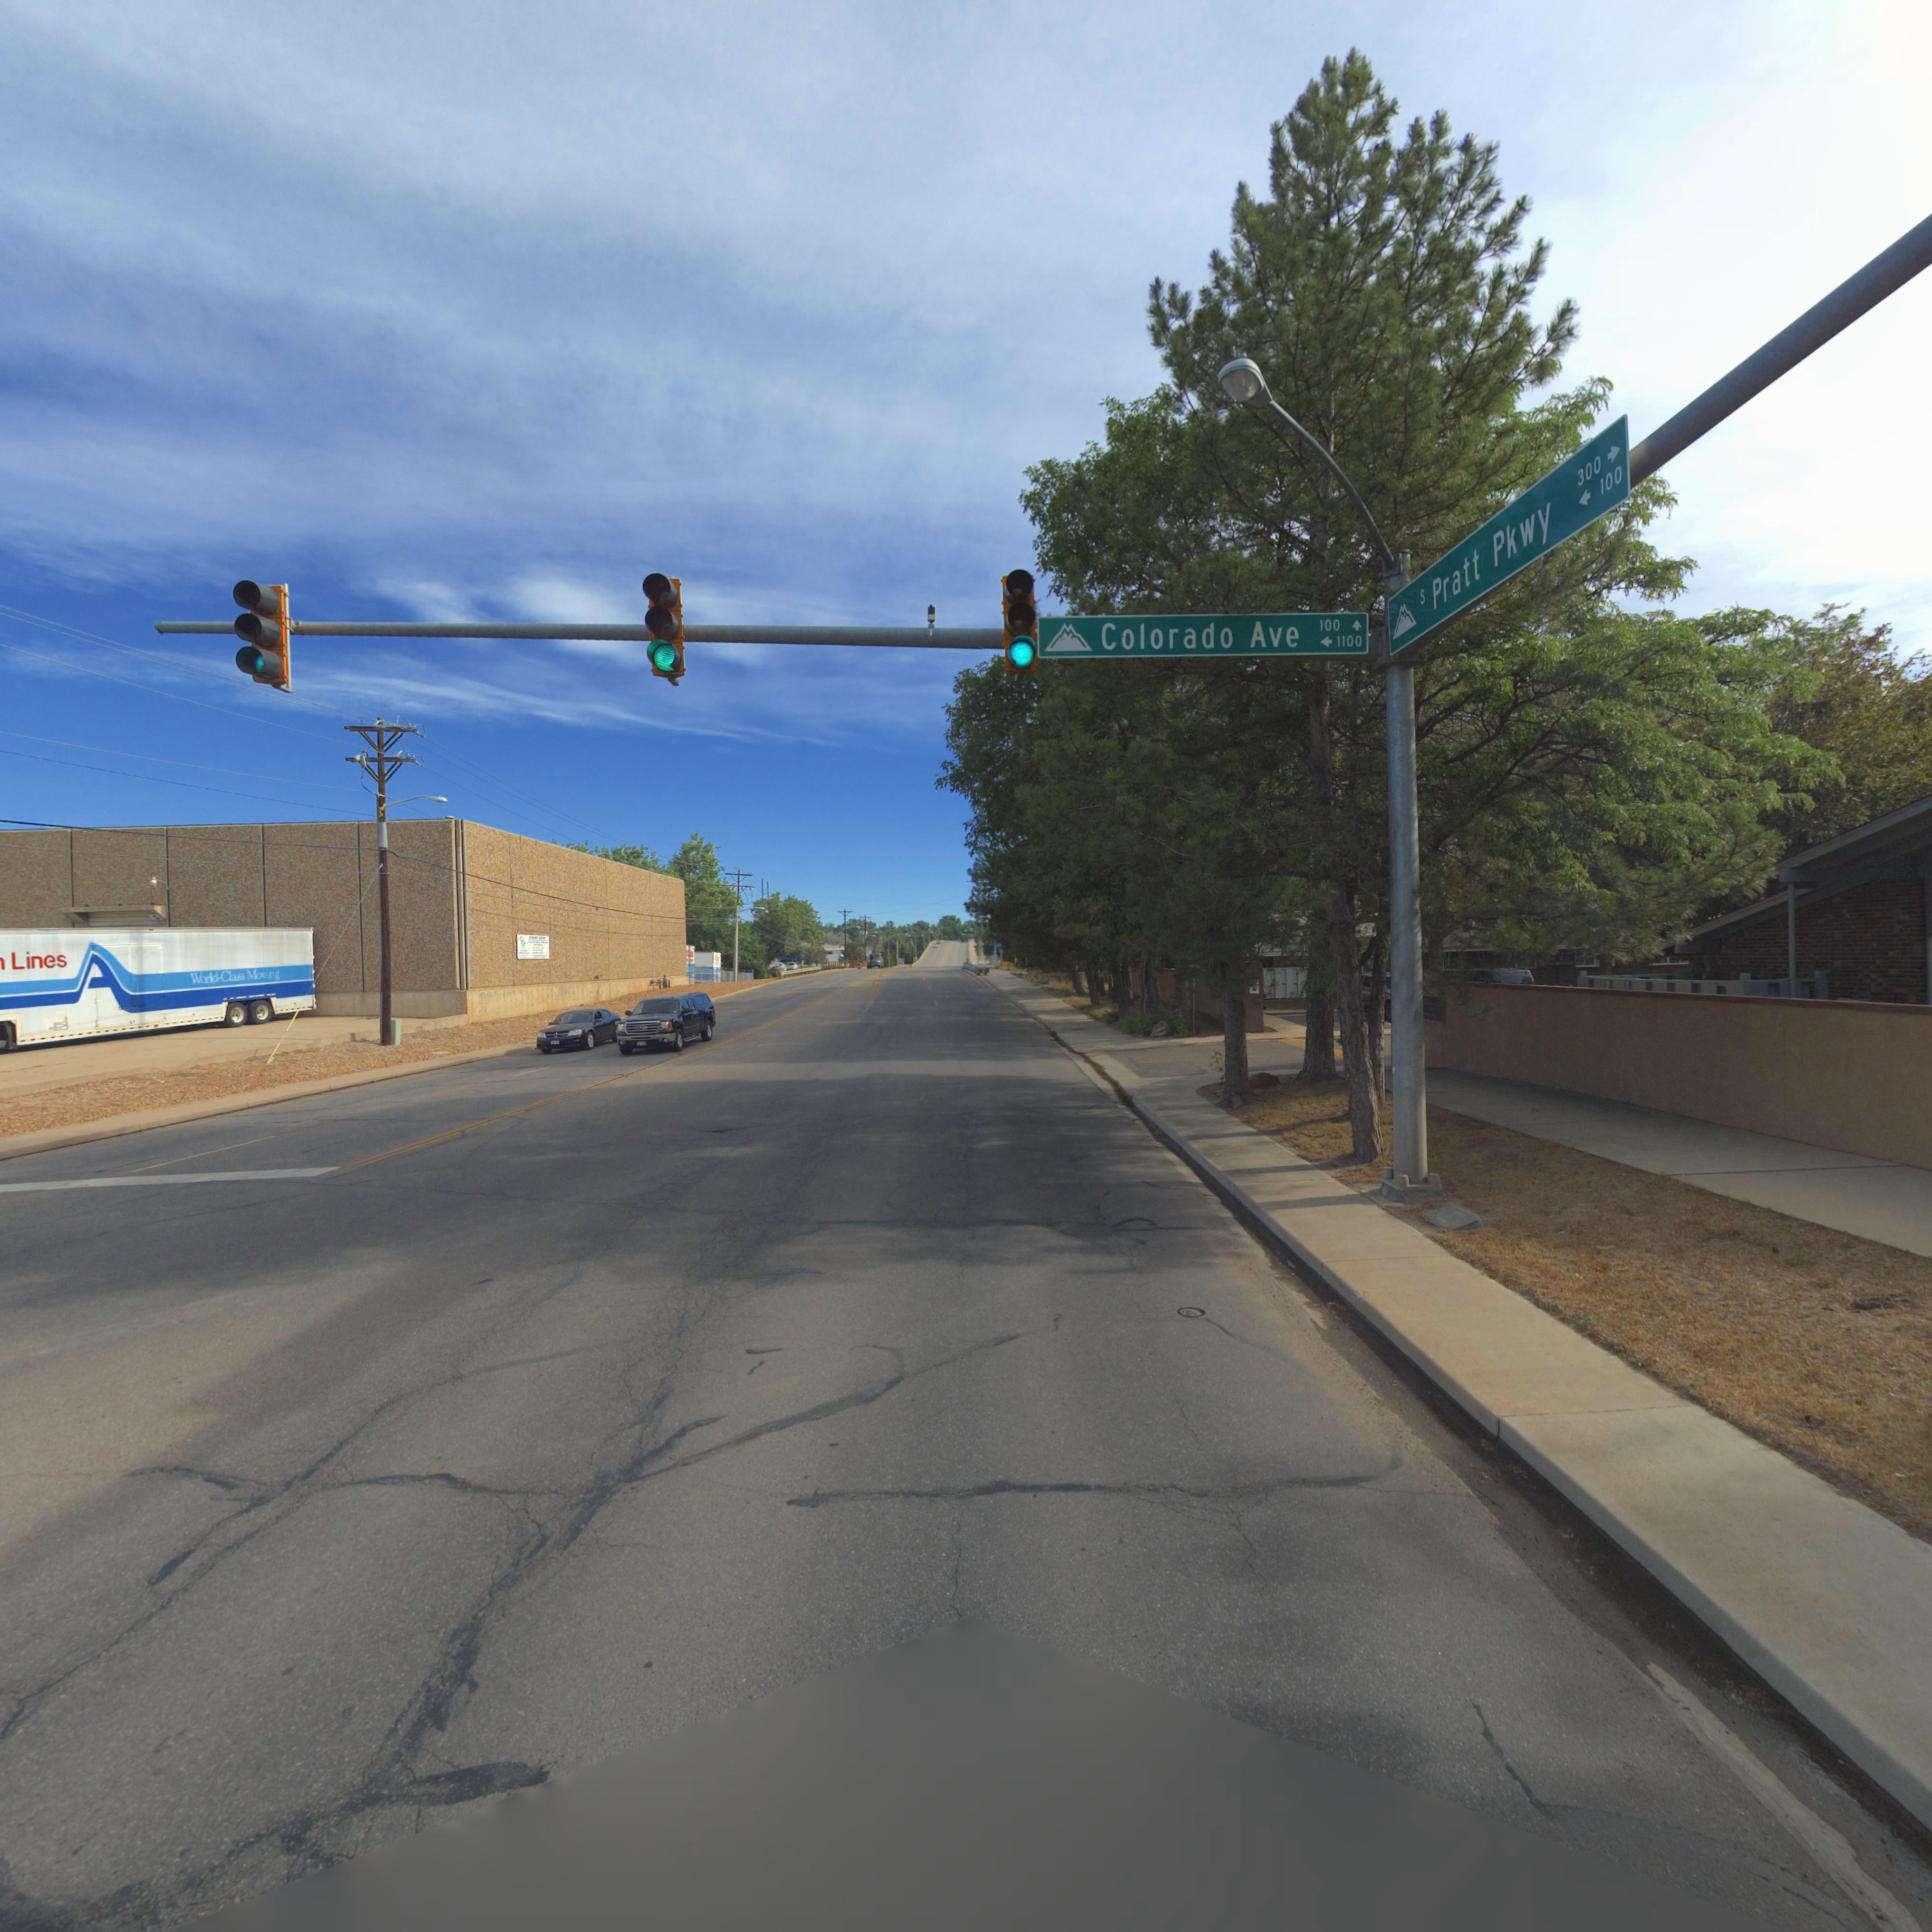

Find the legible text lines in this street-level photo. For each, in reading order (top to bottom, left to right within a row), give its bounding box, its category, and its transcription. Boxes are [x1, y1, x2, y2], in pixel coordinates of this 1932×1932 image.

[1576, 463, 1623, 508] StreetNumberRange: <-100
[1573, 440, 1628, 491] StreetNumberRange: 300->
[1418, 499, 1553, 612] StreetName: S Pratt Pkwy
[1100, 620, 1300, 651] StreetName: Colorado Ave
[1320, 619, 1340, 631] StreetNumber: 100
[1319, 634, 1363, 648] StreetNumberRange: <-1100